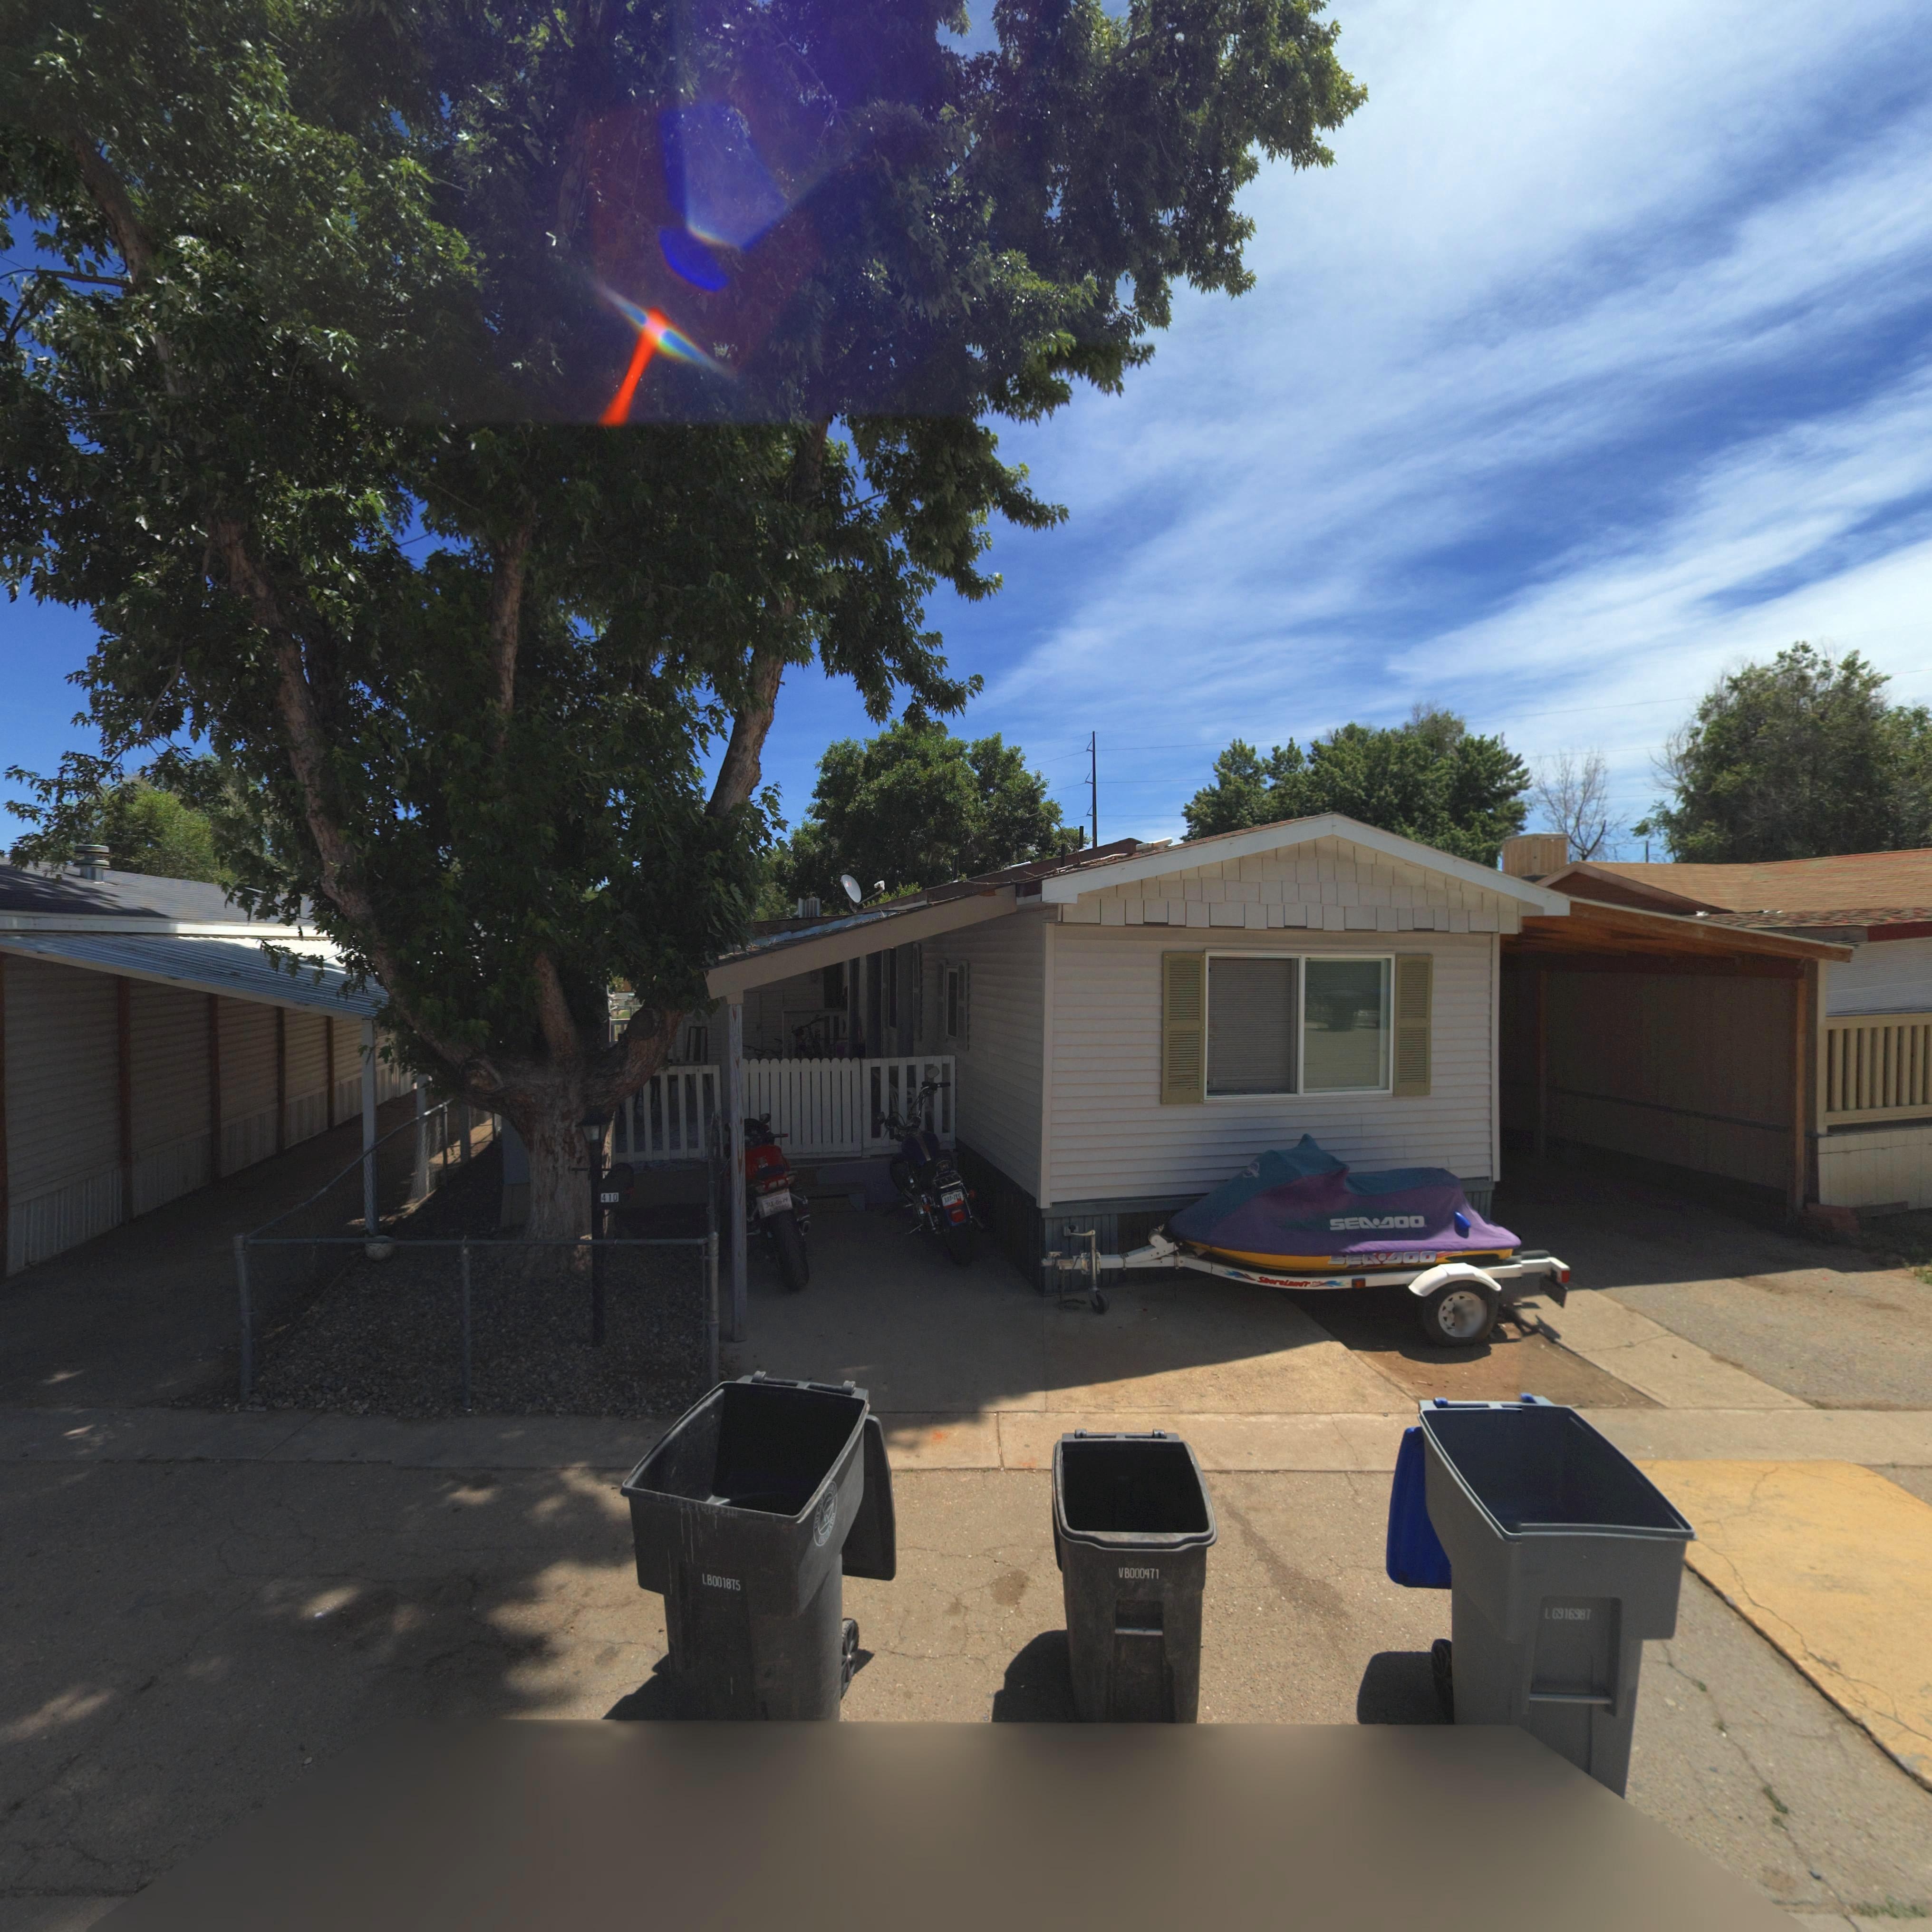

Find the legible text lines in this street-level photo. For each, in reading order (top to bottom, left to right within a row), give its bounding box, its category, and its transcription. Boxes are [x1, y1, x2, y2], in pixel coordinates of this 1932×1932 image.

[601, 1193, 617, 1202] StreetNumber: 410